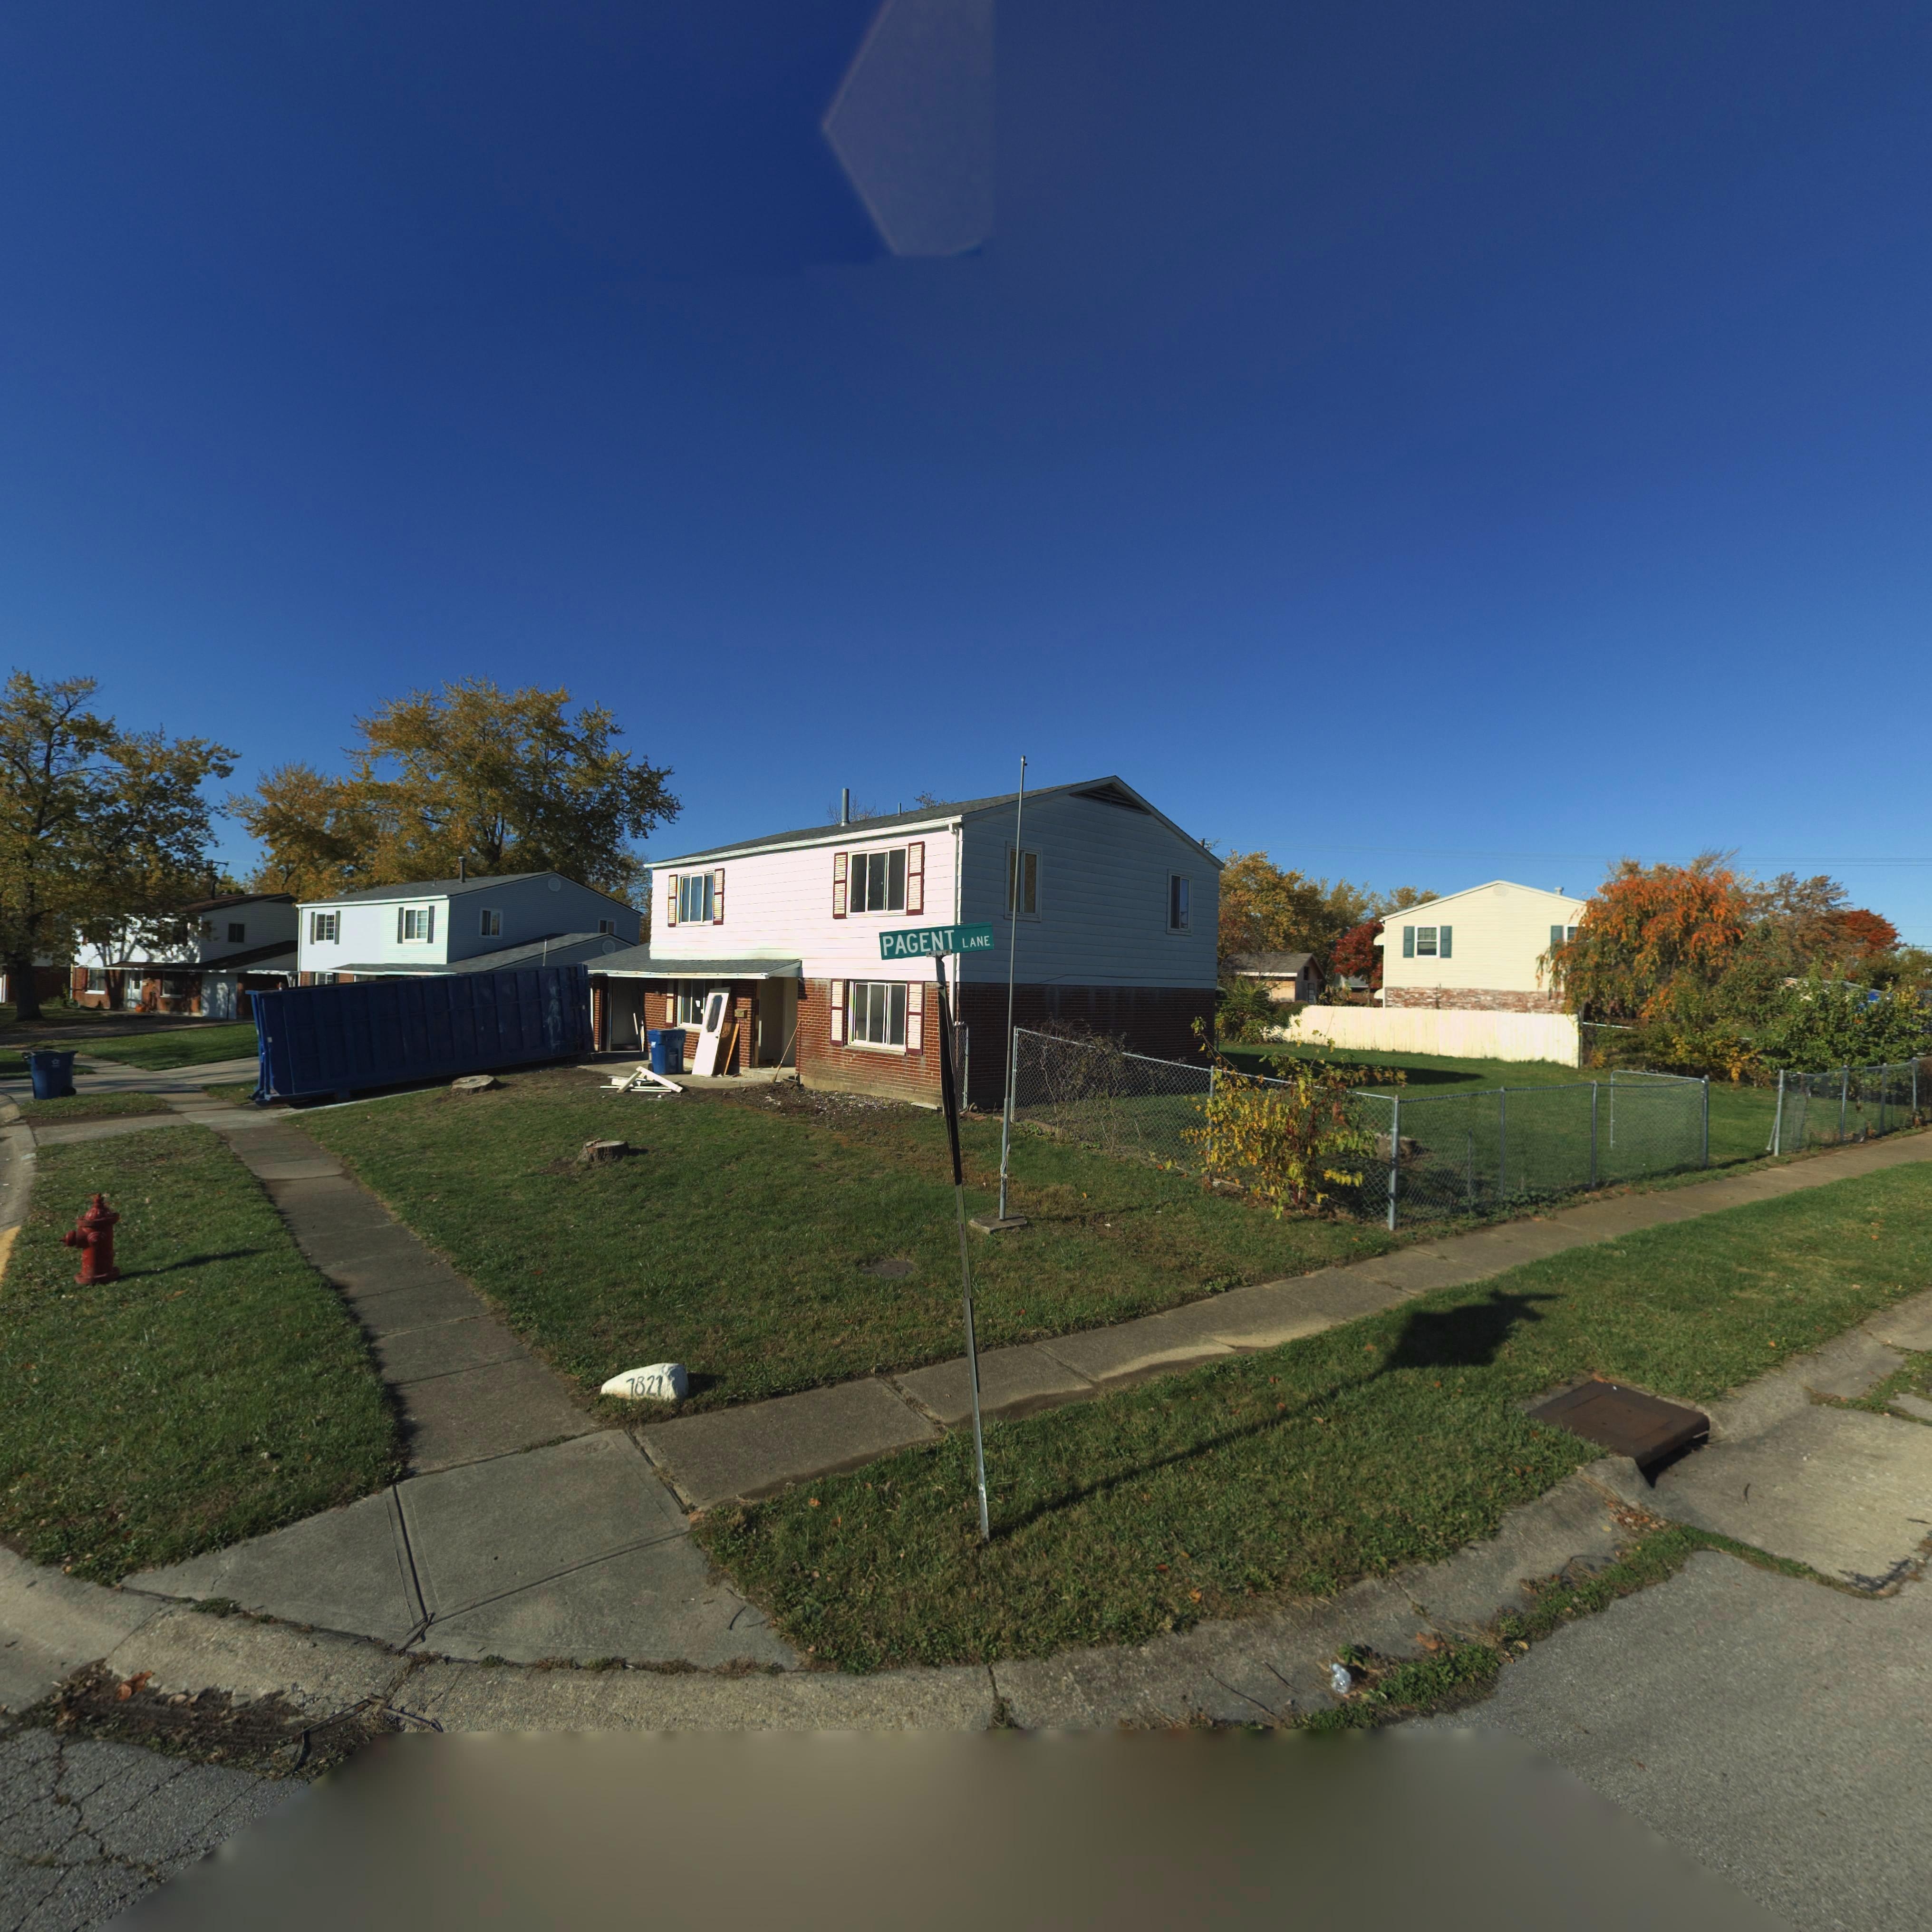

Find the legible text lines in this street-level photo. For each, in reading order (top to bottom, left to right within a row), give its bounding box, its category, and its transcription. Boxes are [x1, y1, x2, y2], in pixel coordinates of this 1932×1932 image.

[623, 1372, 666, 1401] StreetNumber: 7821